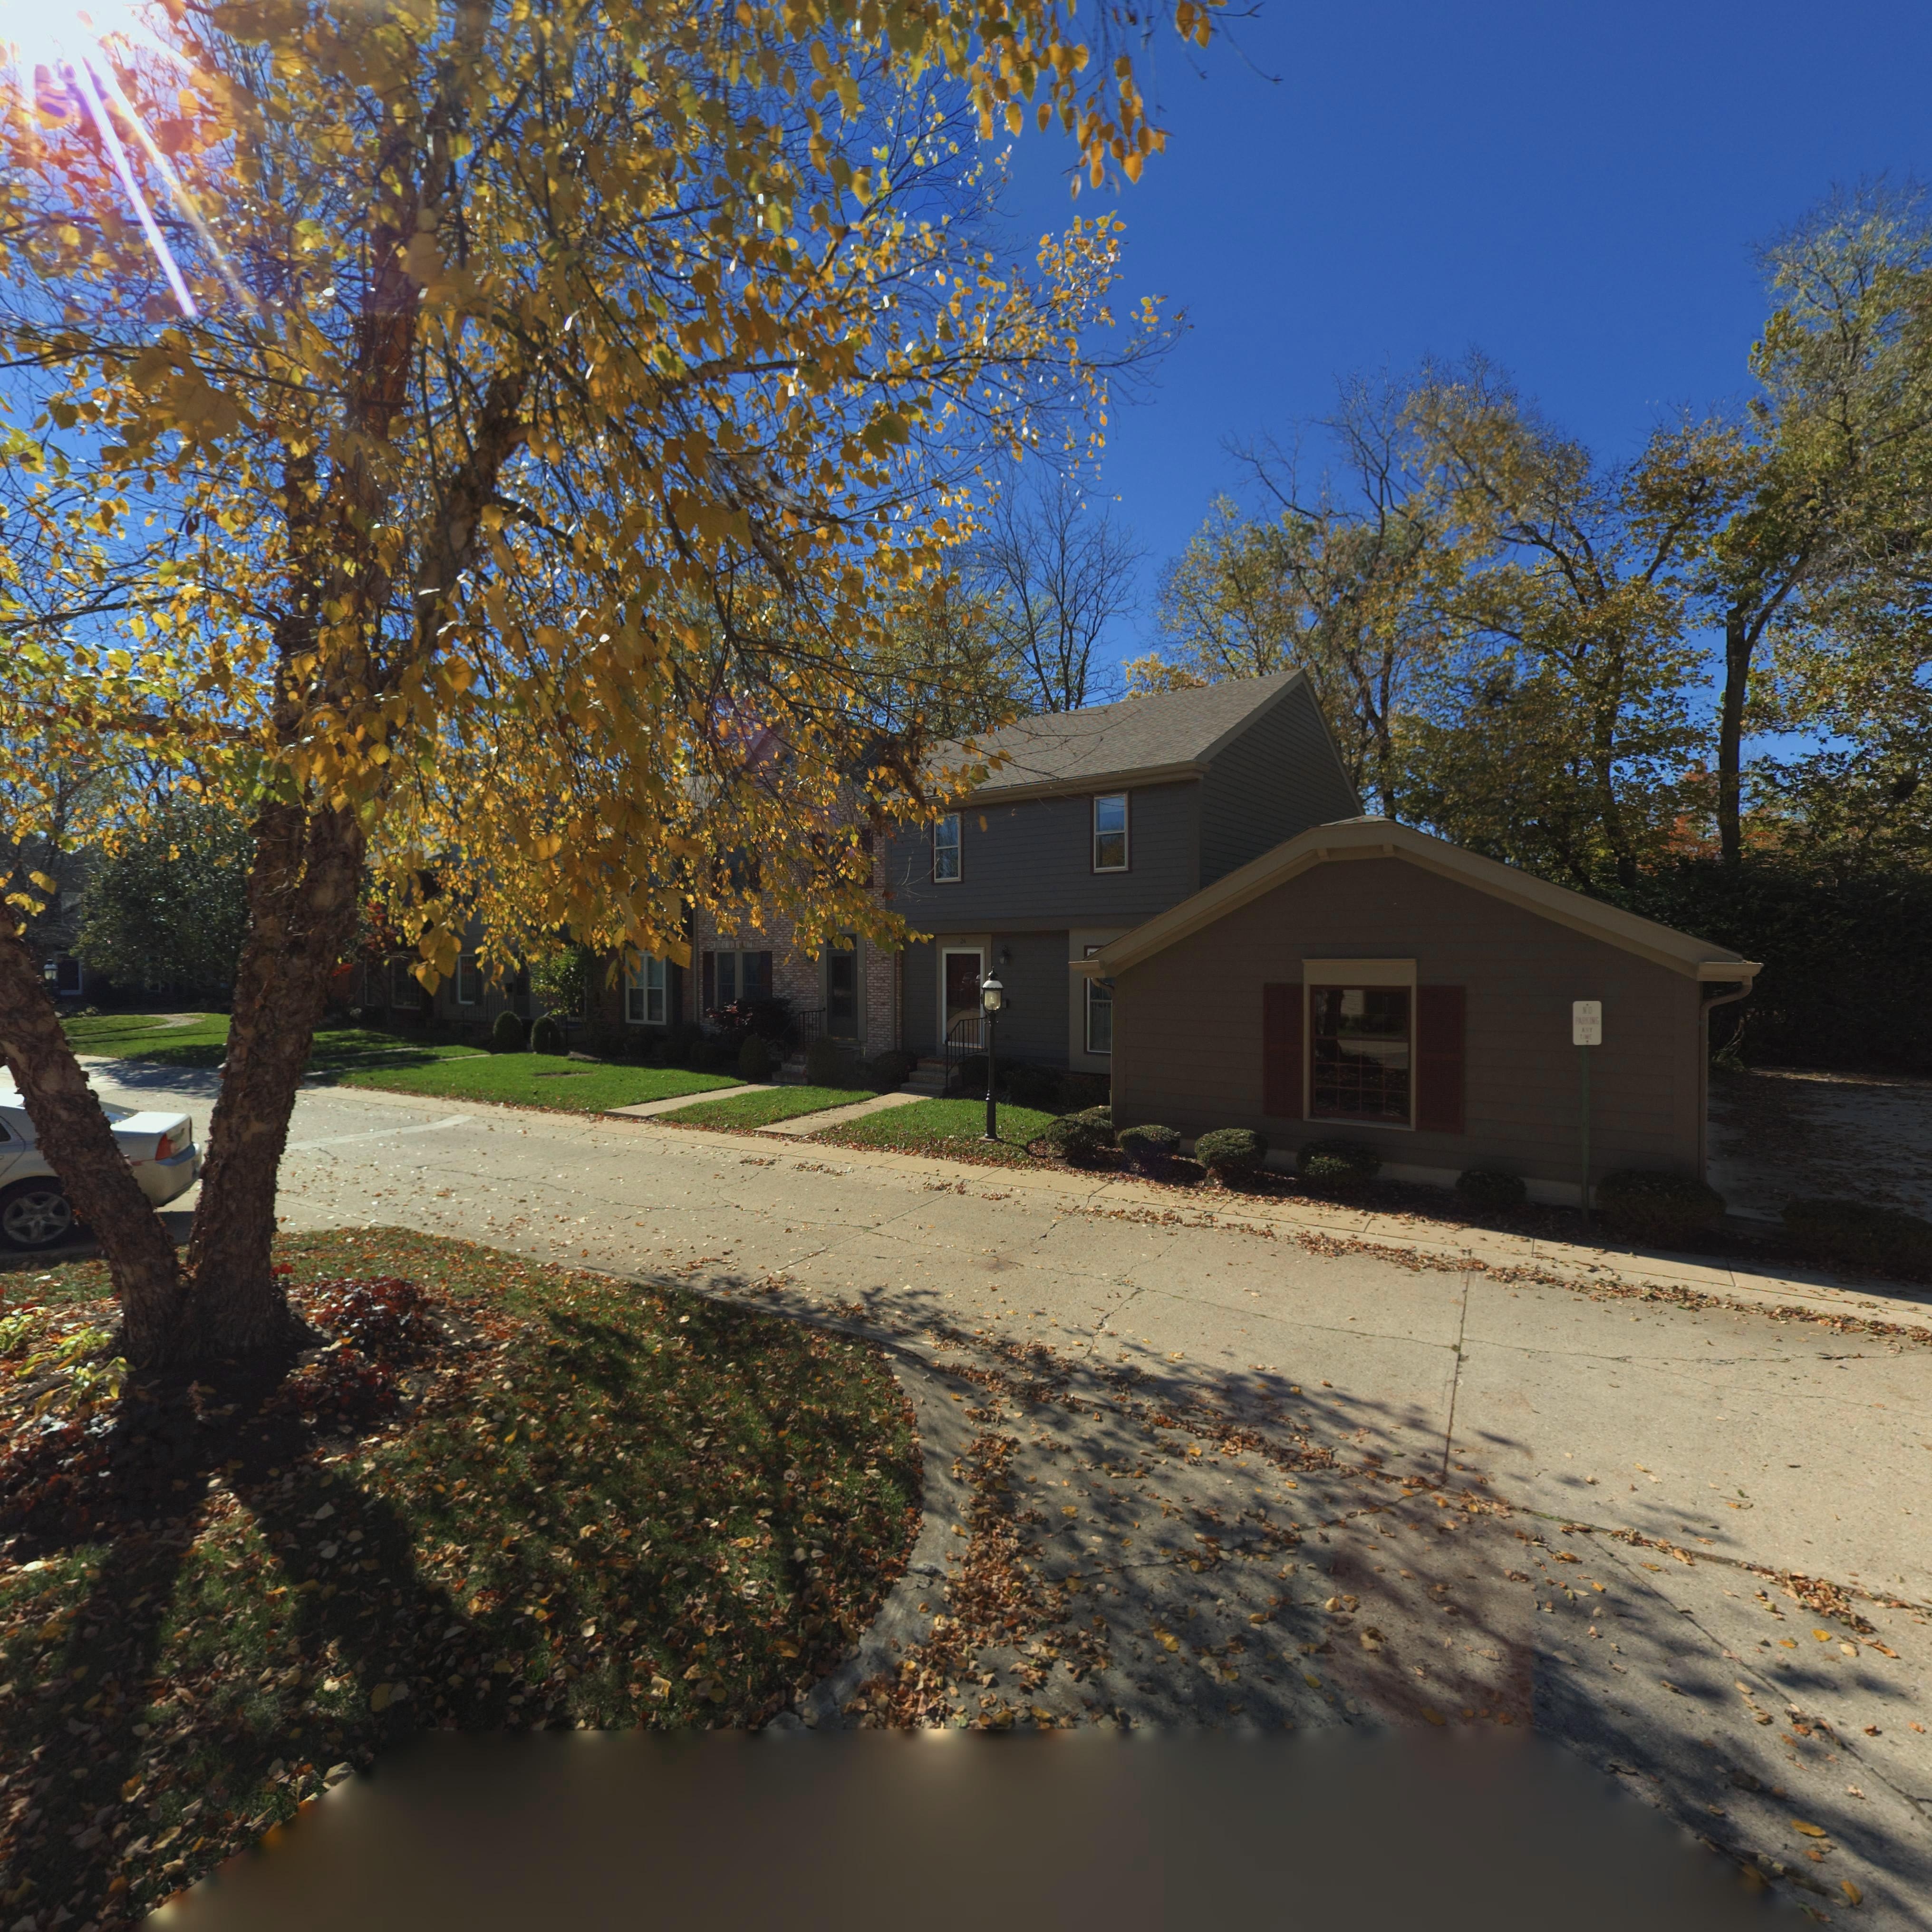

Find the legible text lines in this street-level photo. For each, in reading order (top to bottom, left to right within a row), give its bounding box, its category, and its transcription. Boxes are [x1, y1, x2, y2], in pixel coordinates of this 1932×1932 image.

[840, 927, 844, 931] StreetNumber: 22
[960, 937, 966, 944] StreetNumber: 24
[1582, 1005, 1593, 1014] None: NO
[1574, 1015, 1599, 1025] None: PARKING
[1581, 1027, 1594, 1033] None: A*Y
[1579, 1034, 1593, 1040] None: TIME